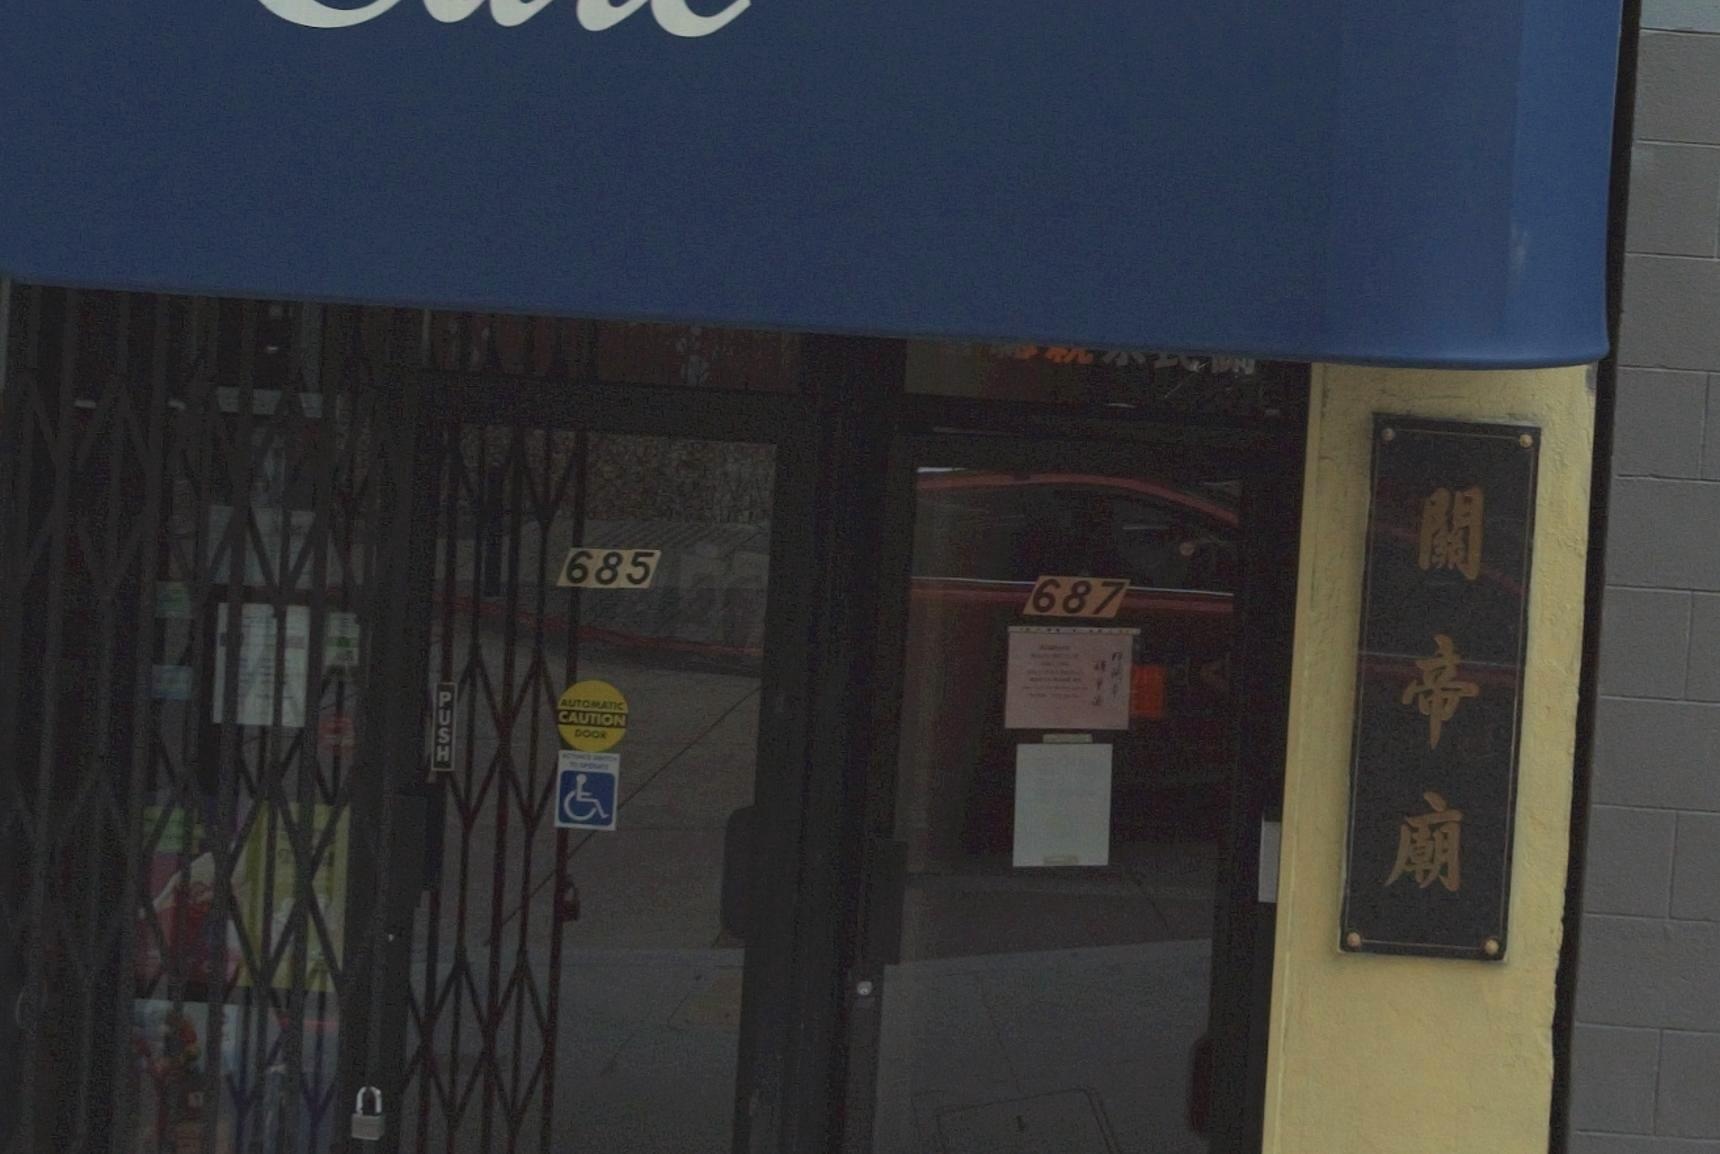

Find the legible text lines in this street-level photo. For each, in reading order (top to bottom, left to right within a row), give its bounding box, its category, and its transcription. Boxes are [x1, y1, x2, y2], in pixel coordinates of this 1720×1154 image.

[561, 544, 660, 588] StreetNumber: 685
[1022, 574, 1136, 618] StreetNumber: 687
[435, 688, 454, 766] None: PUSH
[571, 726, 610, 741] None: DOOR
[554, 706, 628, 730] None: CAUTION
[556, 694, 627, 714] None: AUTOMATIC